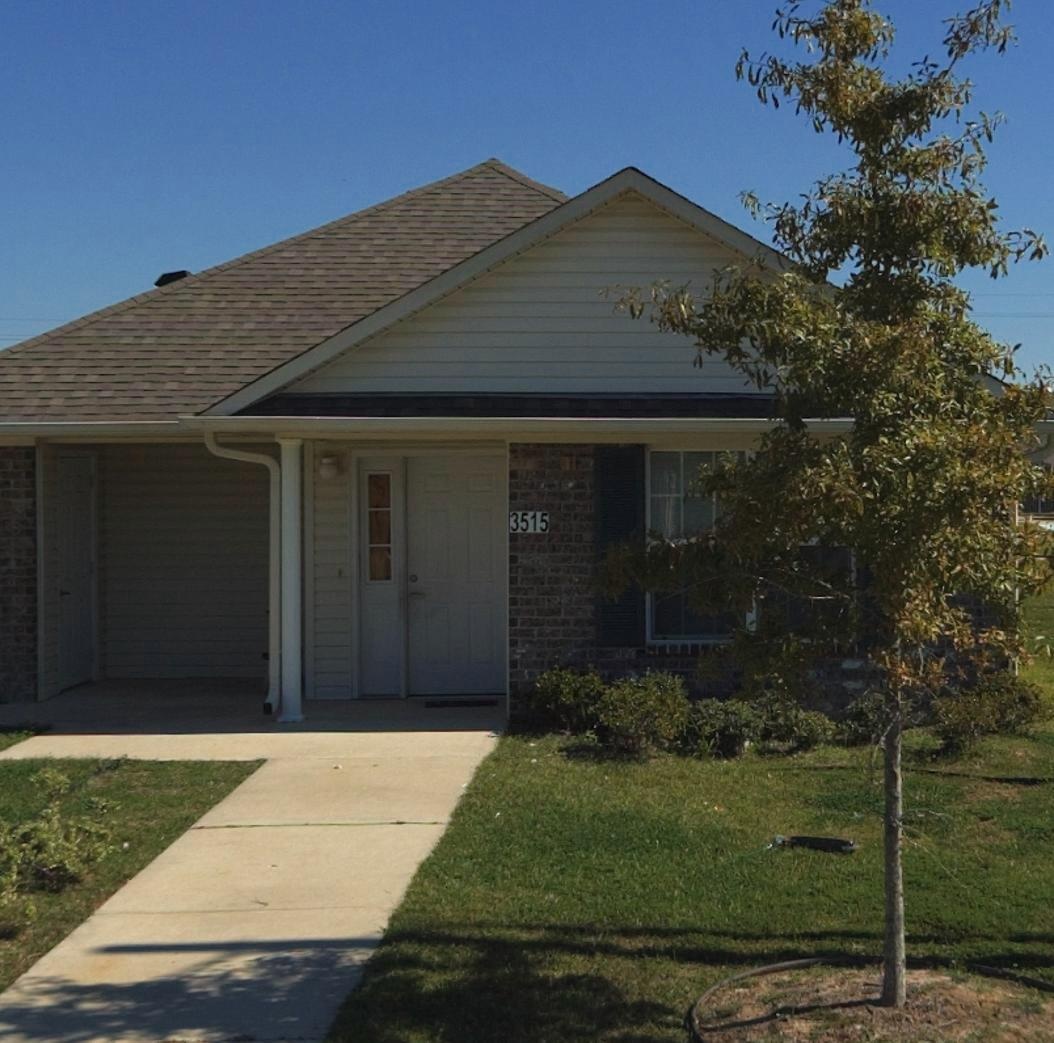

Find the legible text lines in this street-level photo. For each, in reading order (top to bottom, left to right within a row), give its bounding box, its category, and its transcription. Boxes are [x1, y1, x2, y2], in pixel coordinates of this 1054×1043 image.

[510, 511, 549, 532] StreetNumber: 3515